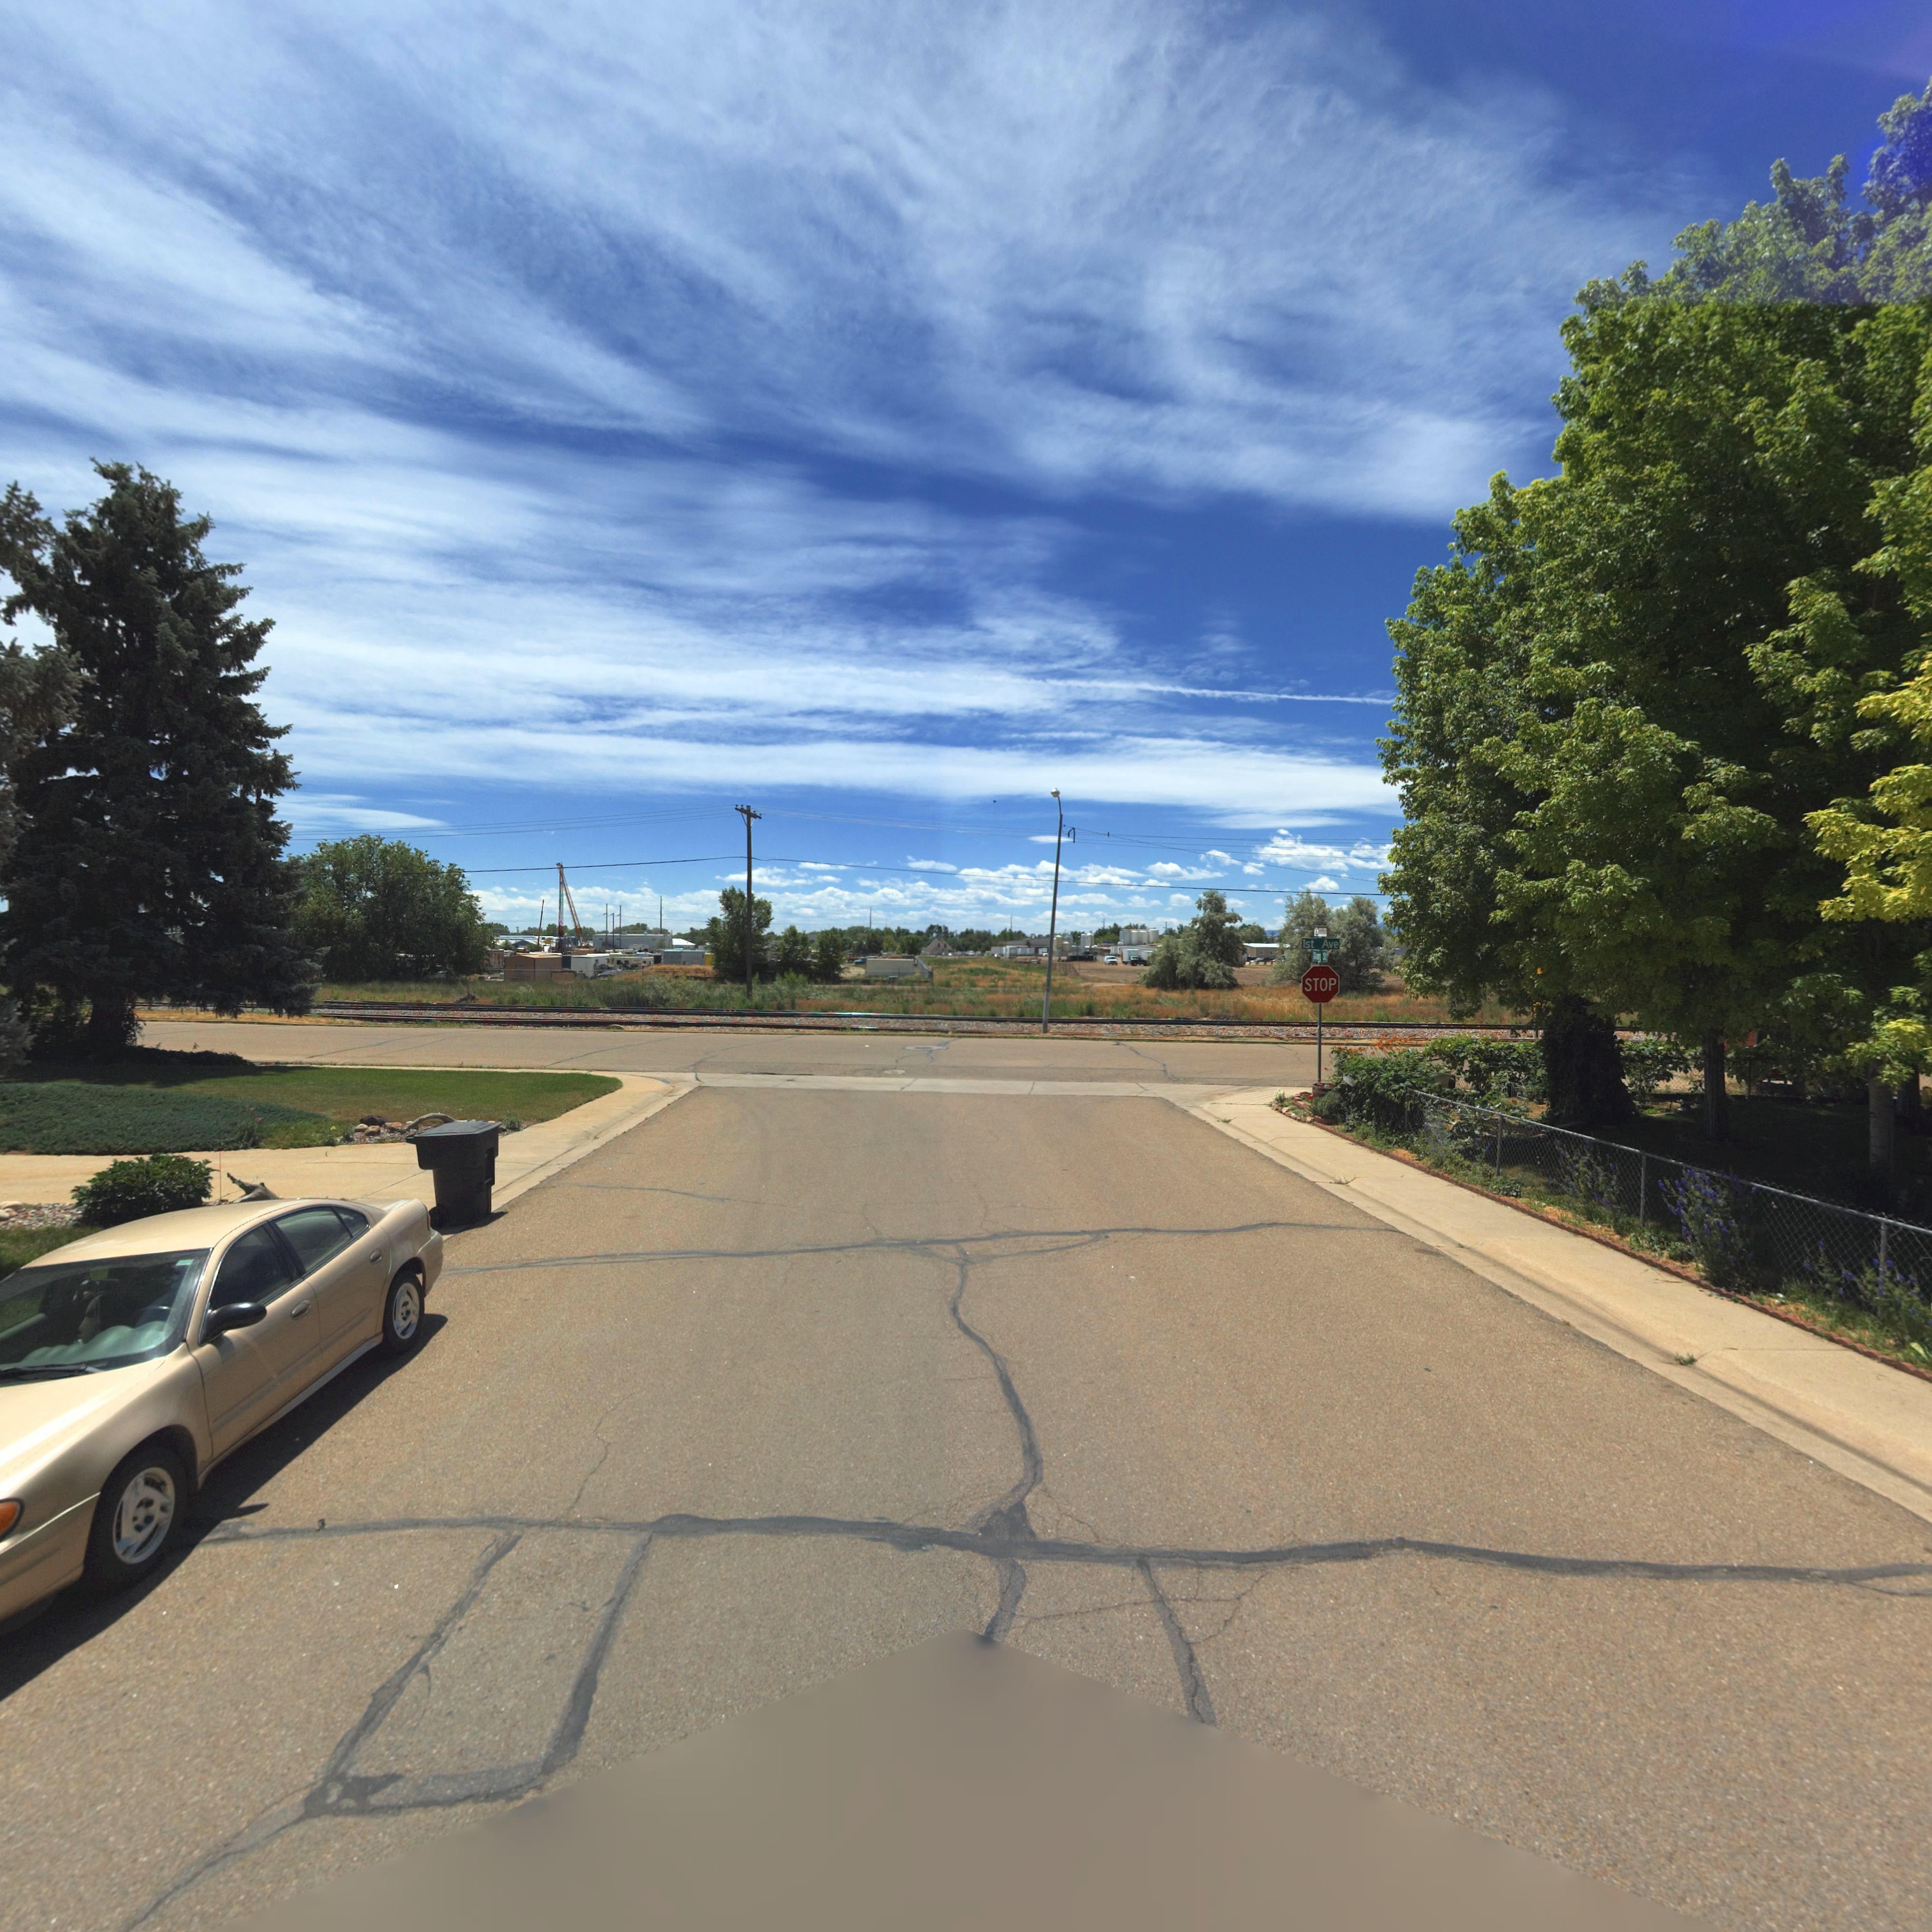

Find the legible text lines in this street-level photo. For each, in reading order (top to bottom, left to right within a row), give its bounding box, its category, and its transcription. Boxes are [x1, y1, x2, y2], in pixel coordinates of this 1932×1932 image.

[1302, 938, 1339, 948] StreetName: 1st Ave
[1312, 951, 1327, 960] StreetName: Grant St